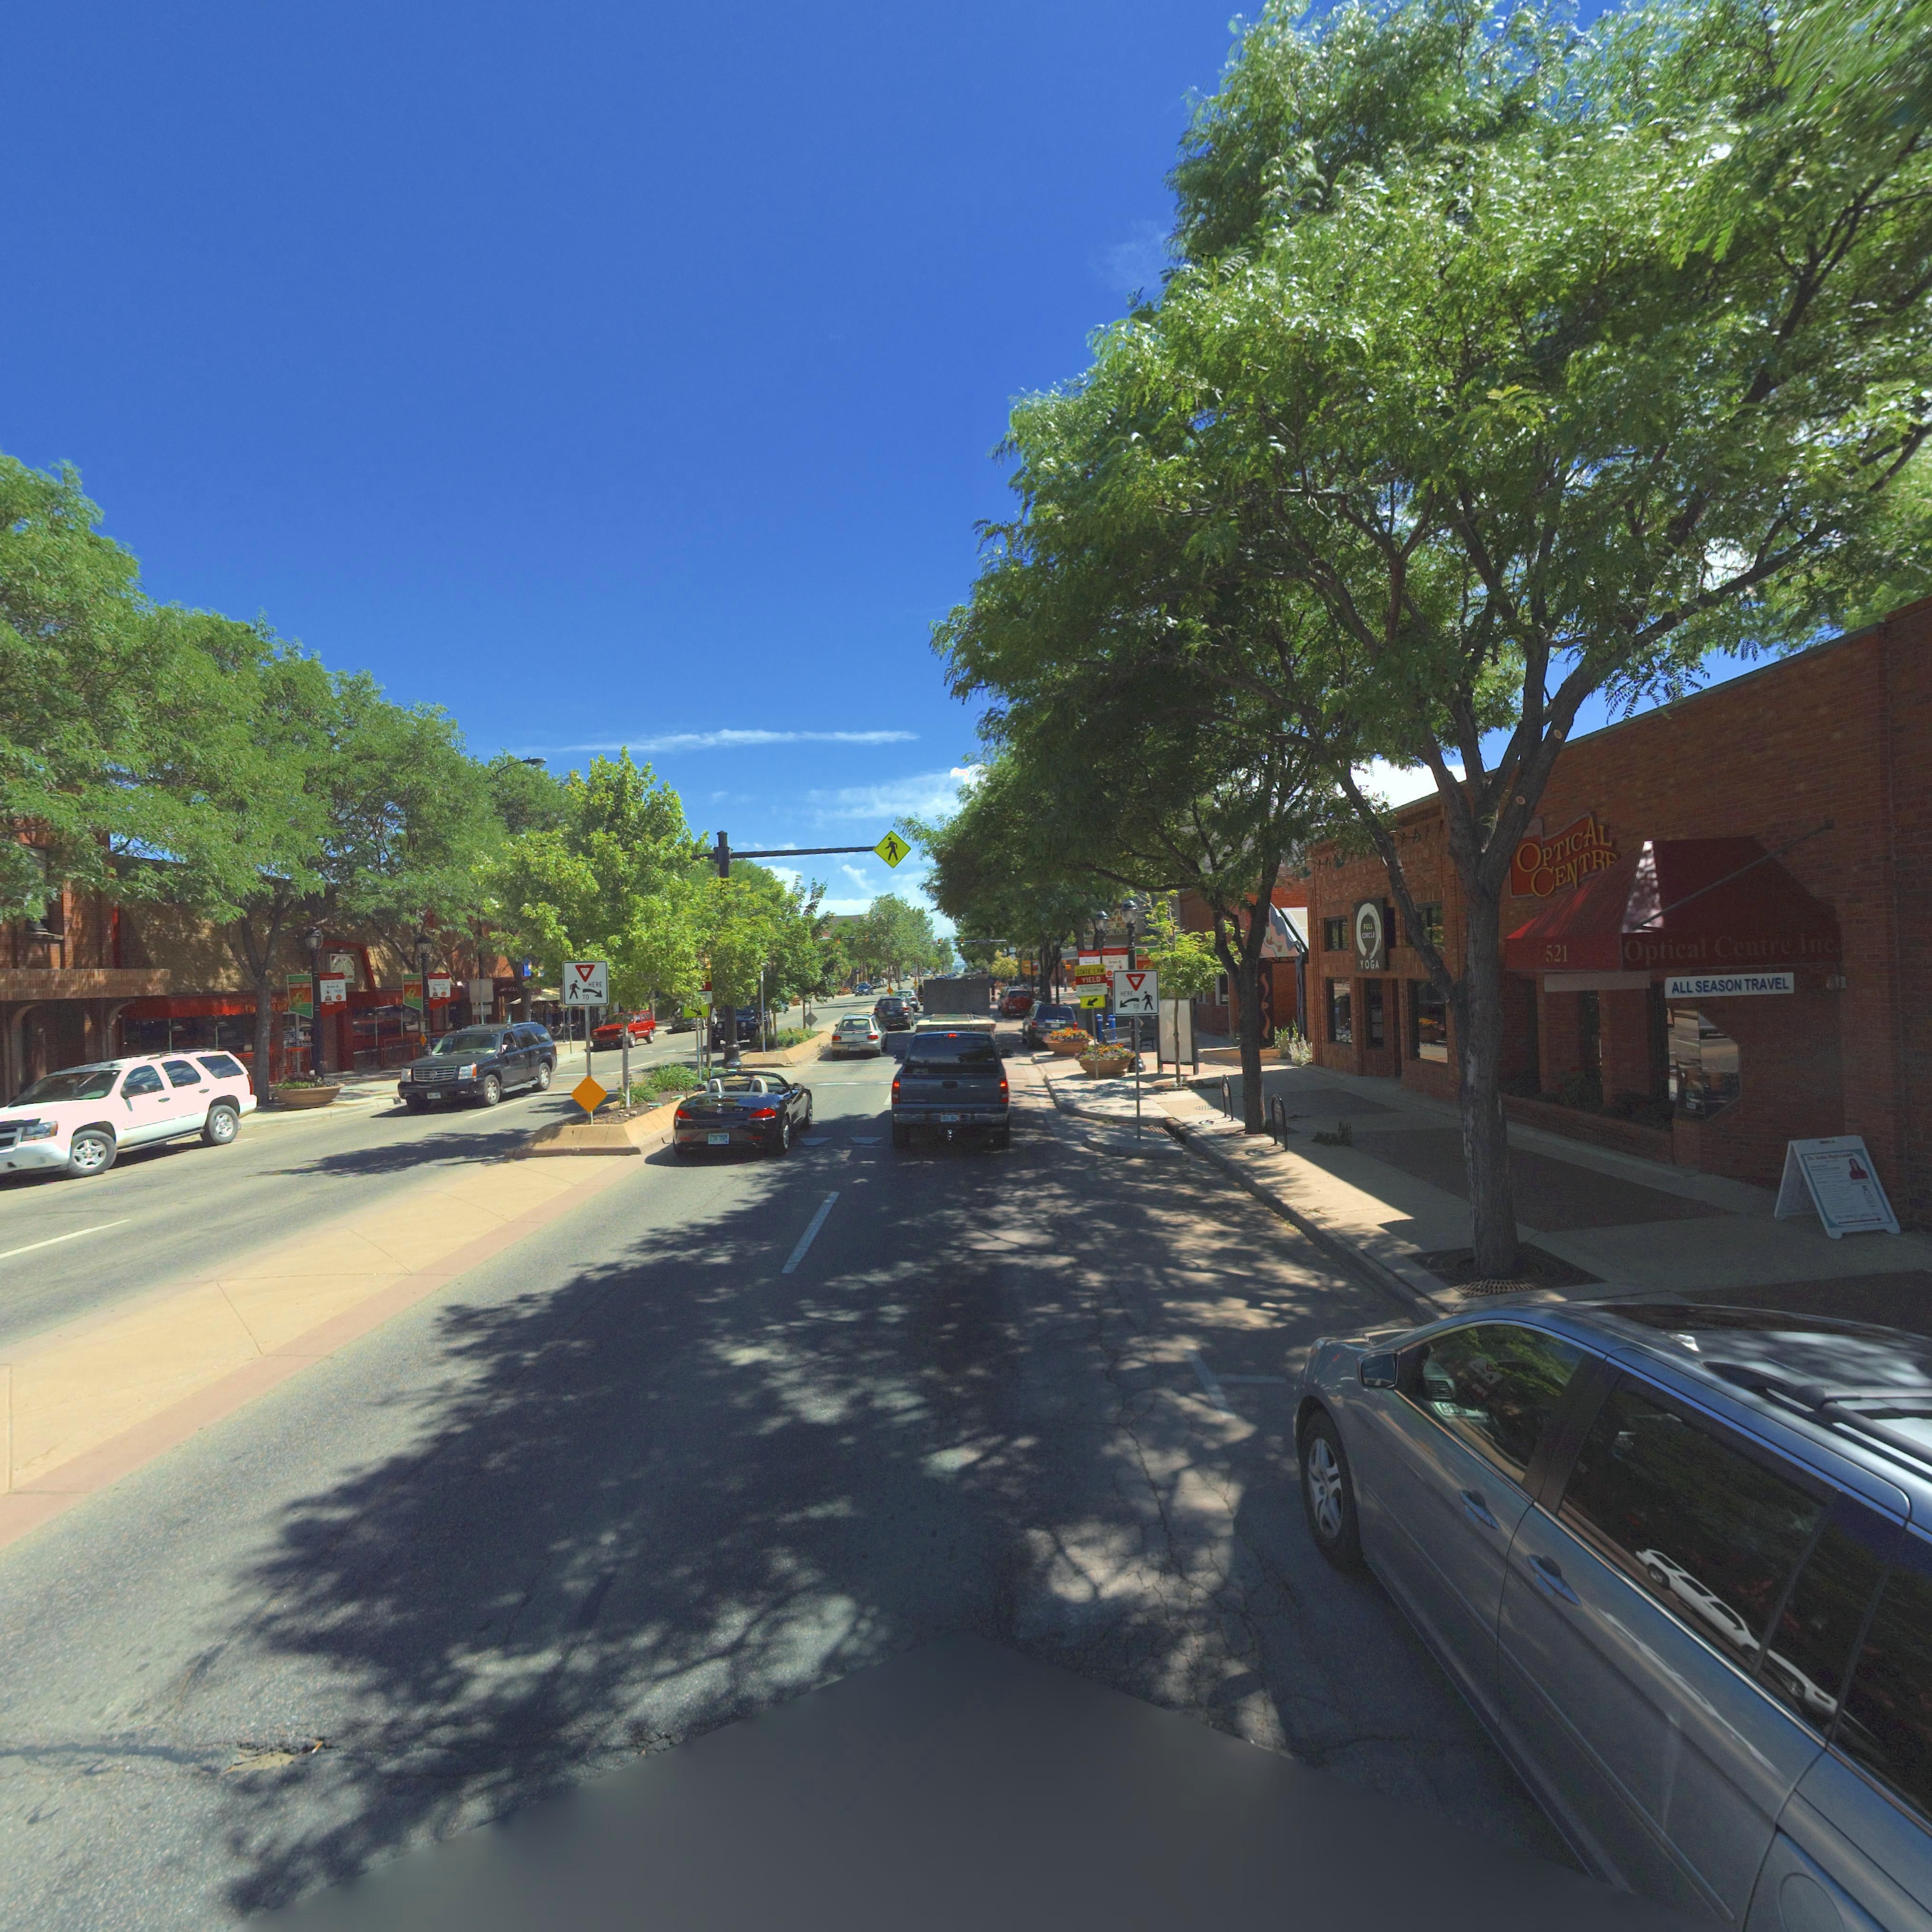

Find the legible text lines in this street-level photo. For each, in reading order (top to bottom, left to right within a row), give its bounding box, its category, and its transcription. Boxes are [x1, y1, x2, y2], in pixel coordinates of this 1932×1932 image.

[1515, 814, 1613, 873] BusinessName: OPTICAL
[1530, 848, 1617, 898] BusinessName: CENTR*
[1363, 922, 1373, 929] BusinessName: FULL
[1362, 931, 1375, 938] BusinessName: CIRCLE
[1545, 944, 1568, 963] StreetNumber: 521
[1623, 932, 1835, 966] BusinessName: Optical Centre Inc
[1360, 959, 1380, 969] BusinessName: YOGA